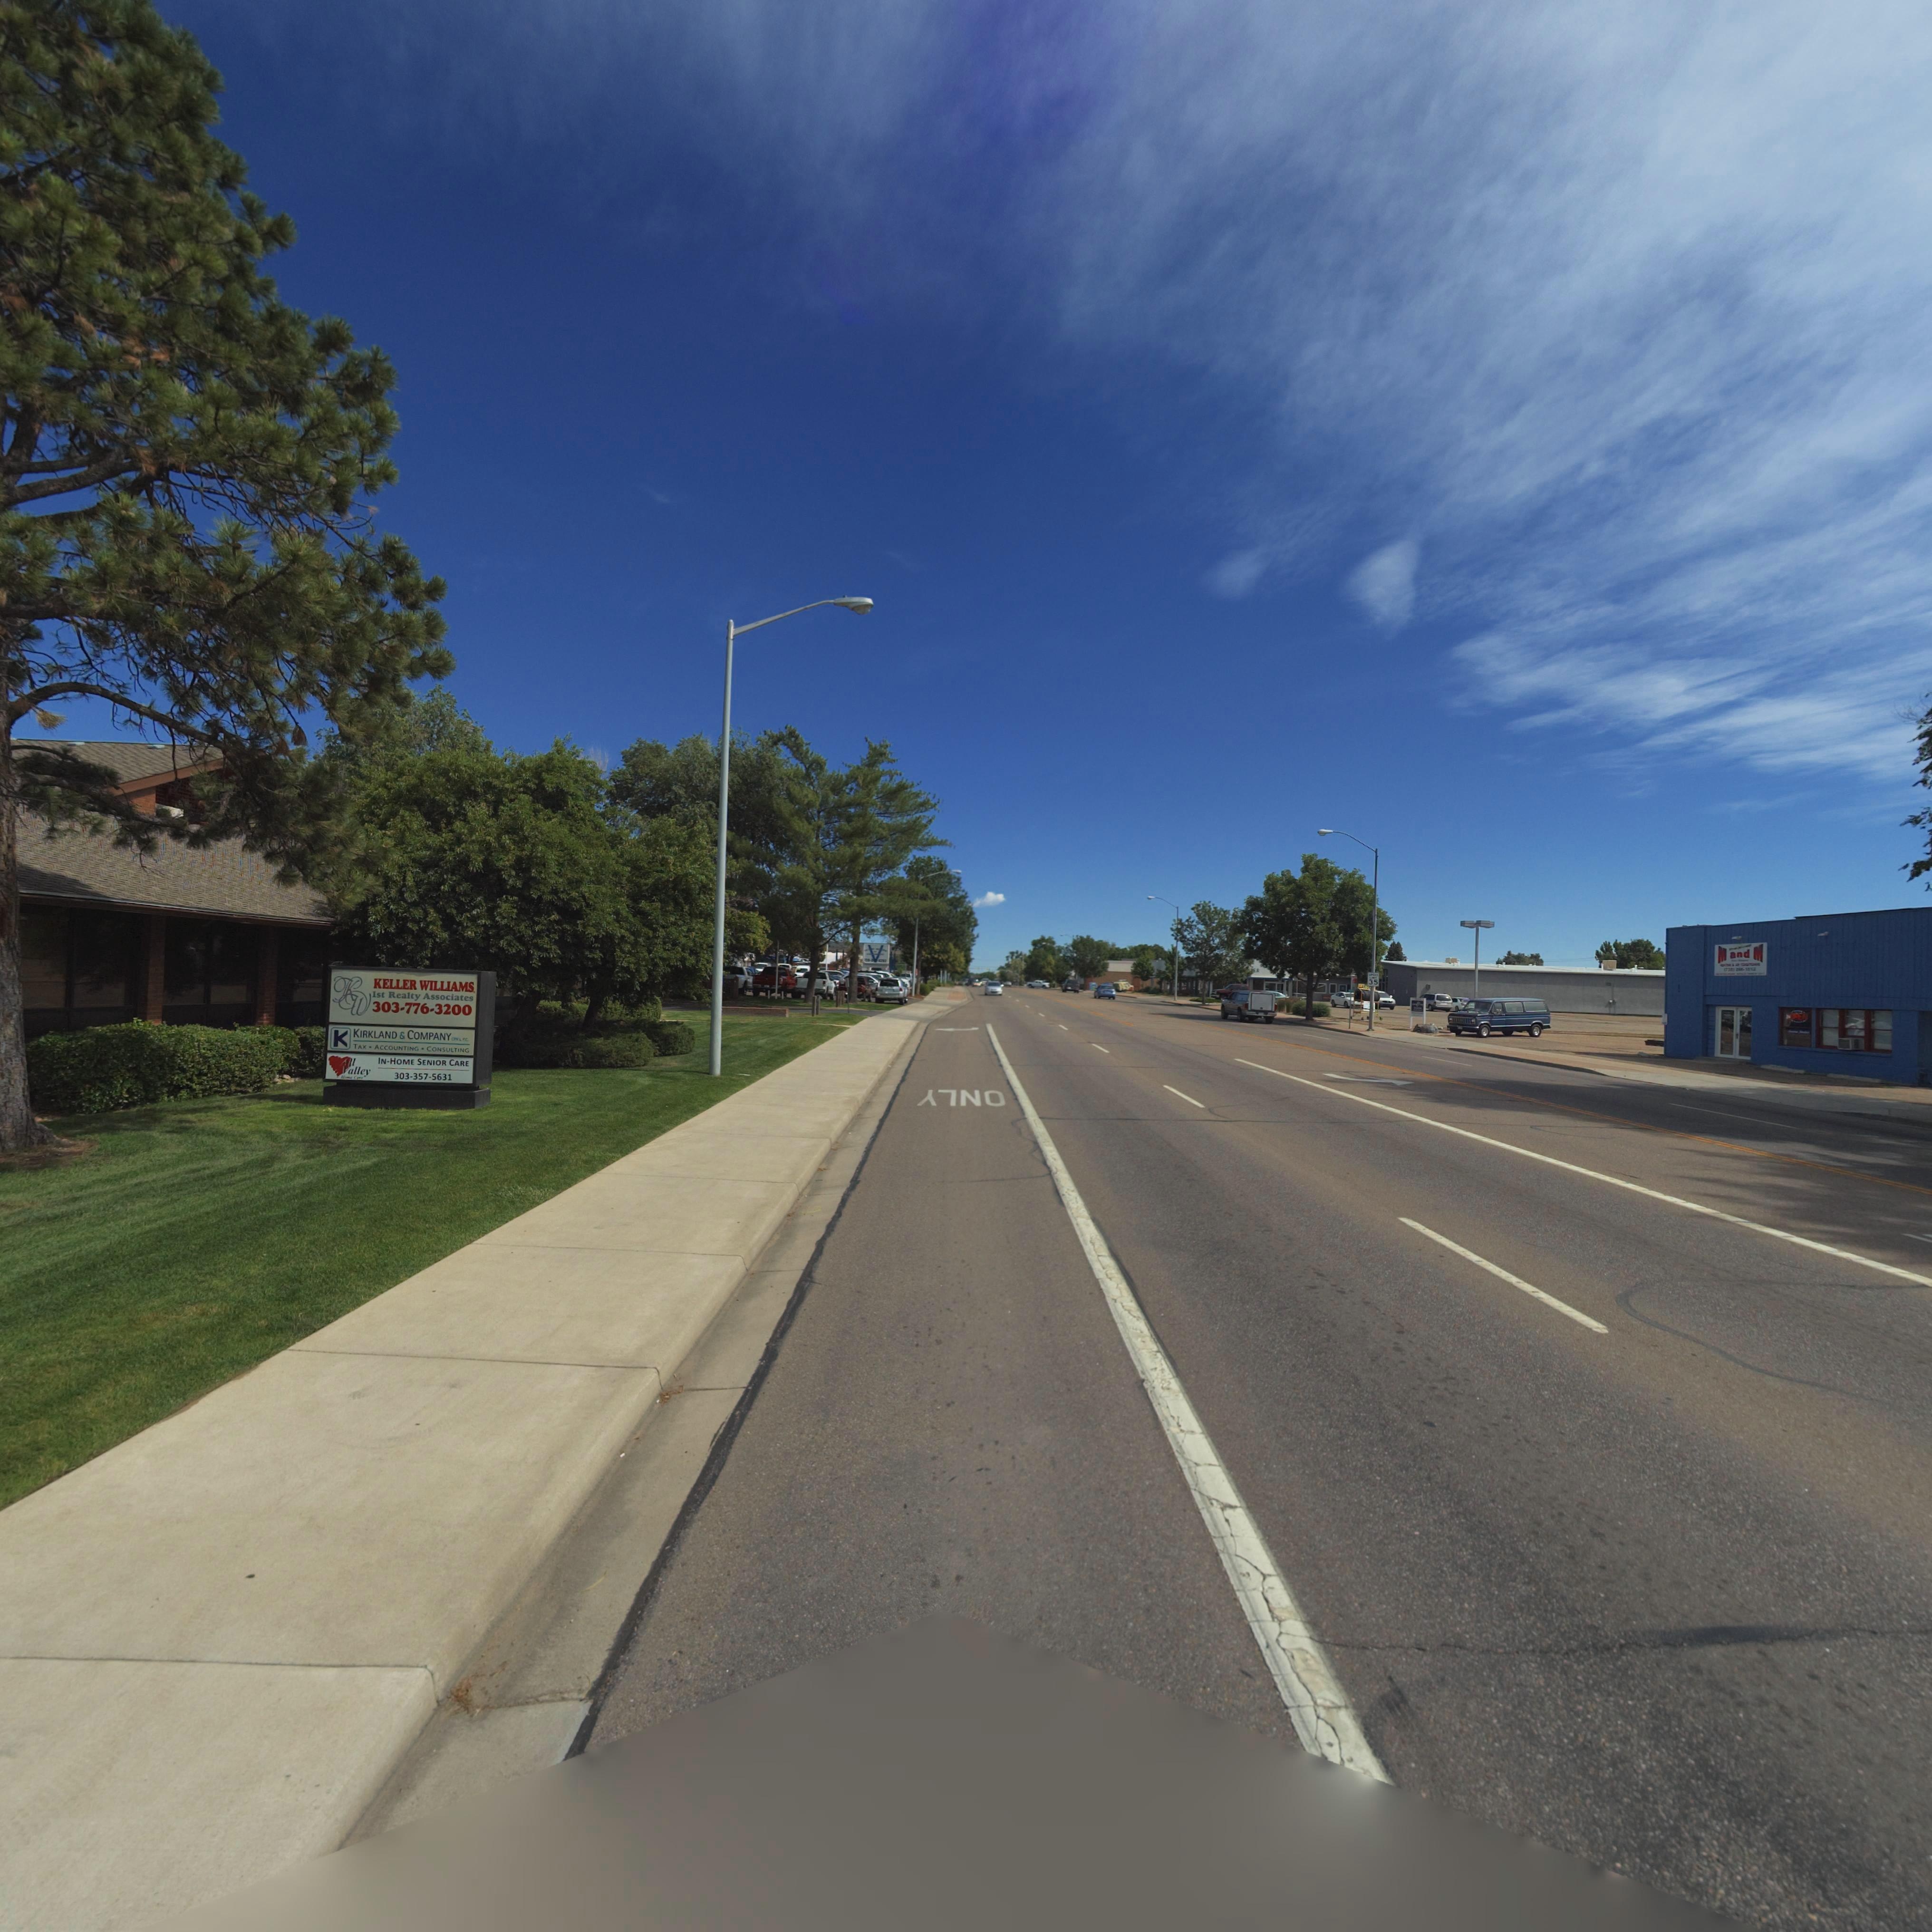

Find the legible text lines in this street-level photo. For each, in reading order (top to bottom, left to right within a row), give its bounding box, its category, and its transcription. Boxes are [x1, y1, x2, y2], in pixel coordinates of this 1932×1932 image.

[1717, 942, 1764, 964] BusinessName: M and M
[1252, 967, 1260, 973] BusinessName: *R
[372, 977, 474, 993] BusinessName: KELLER WILLIAMS
[371, 990, 473, 1002] BusinessName: 1st Realty Associates
[353, 1028, 452, 1041] BusinessName: KIRKLAND & COMPANY
[338, 1057, 357, 1067] BusinessName: All
[378, 1057, 469, 1067] BusinessName: IN-HOME SENIOR CARE
[342, 1065, 372, 1077] BusinessName: Valley